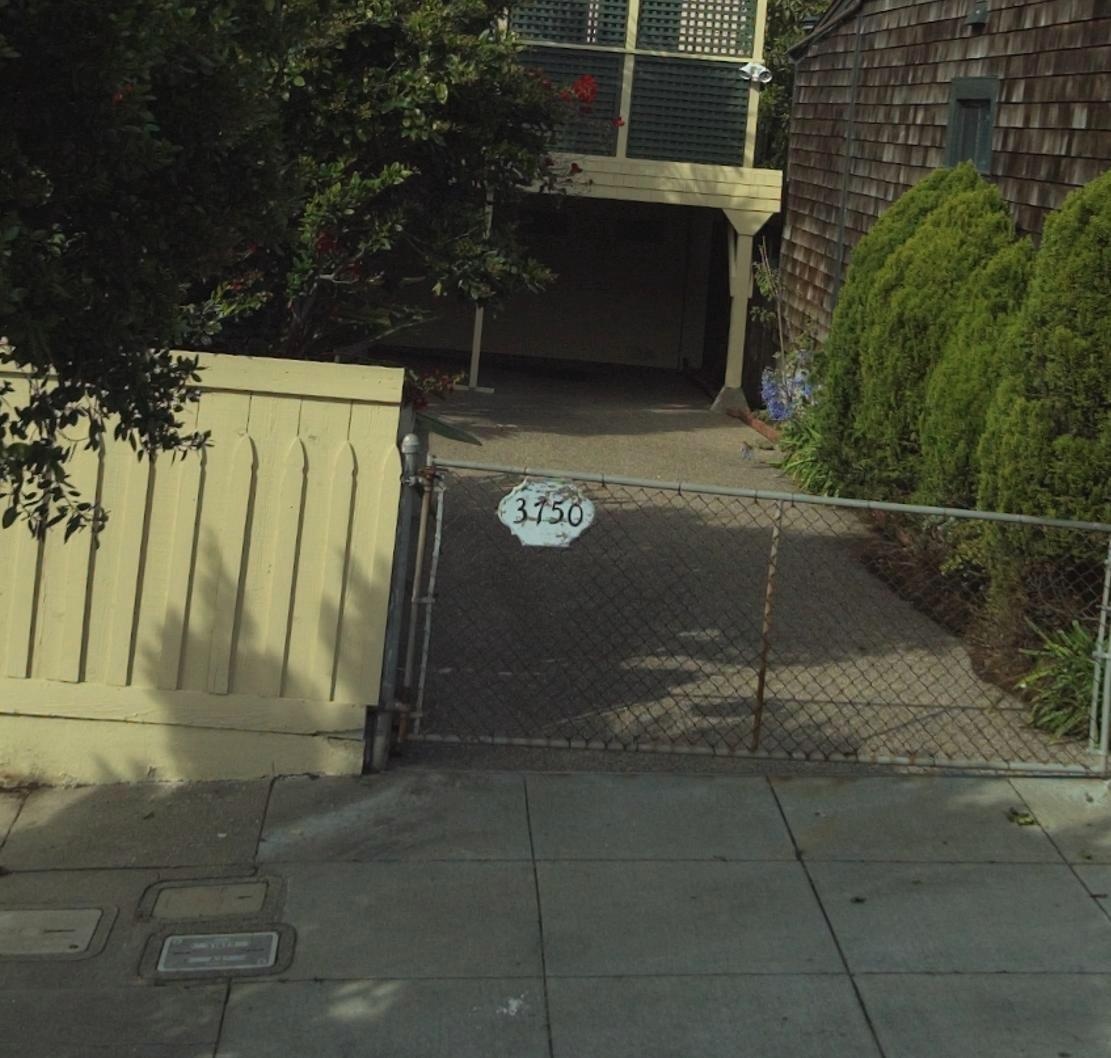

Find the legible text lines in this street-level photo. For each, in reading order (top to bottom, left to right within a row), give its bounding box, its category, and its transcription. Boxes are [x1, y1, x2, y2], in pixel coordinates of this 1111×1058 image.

[511, 496, 584, 527] StreetNumber: 3750